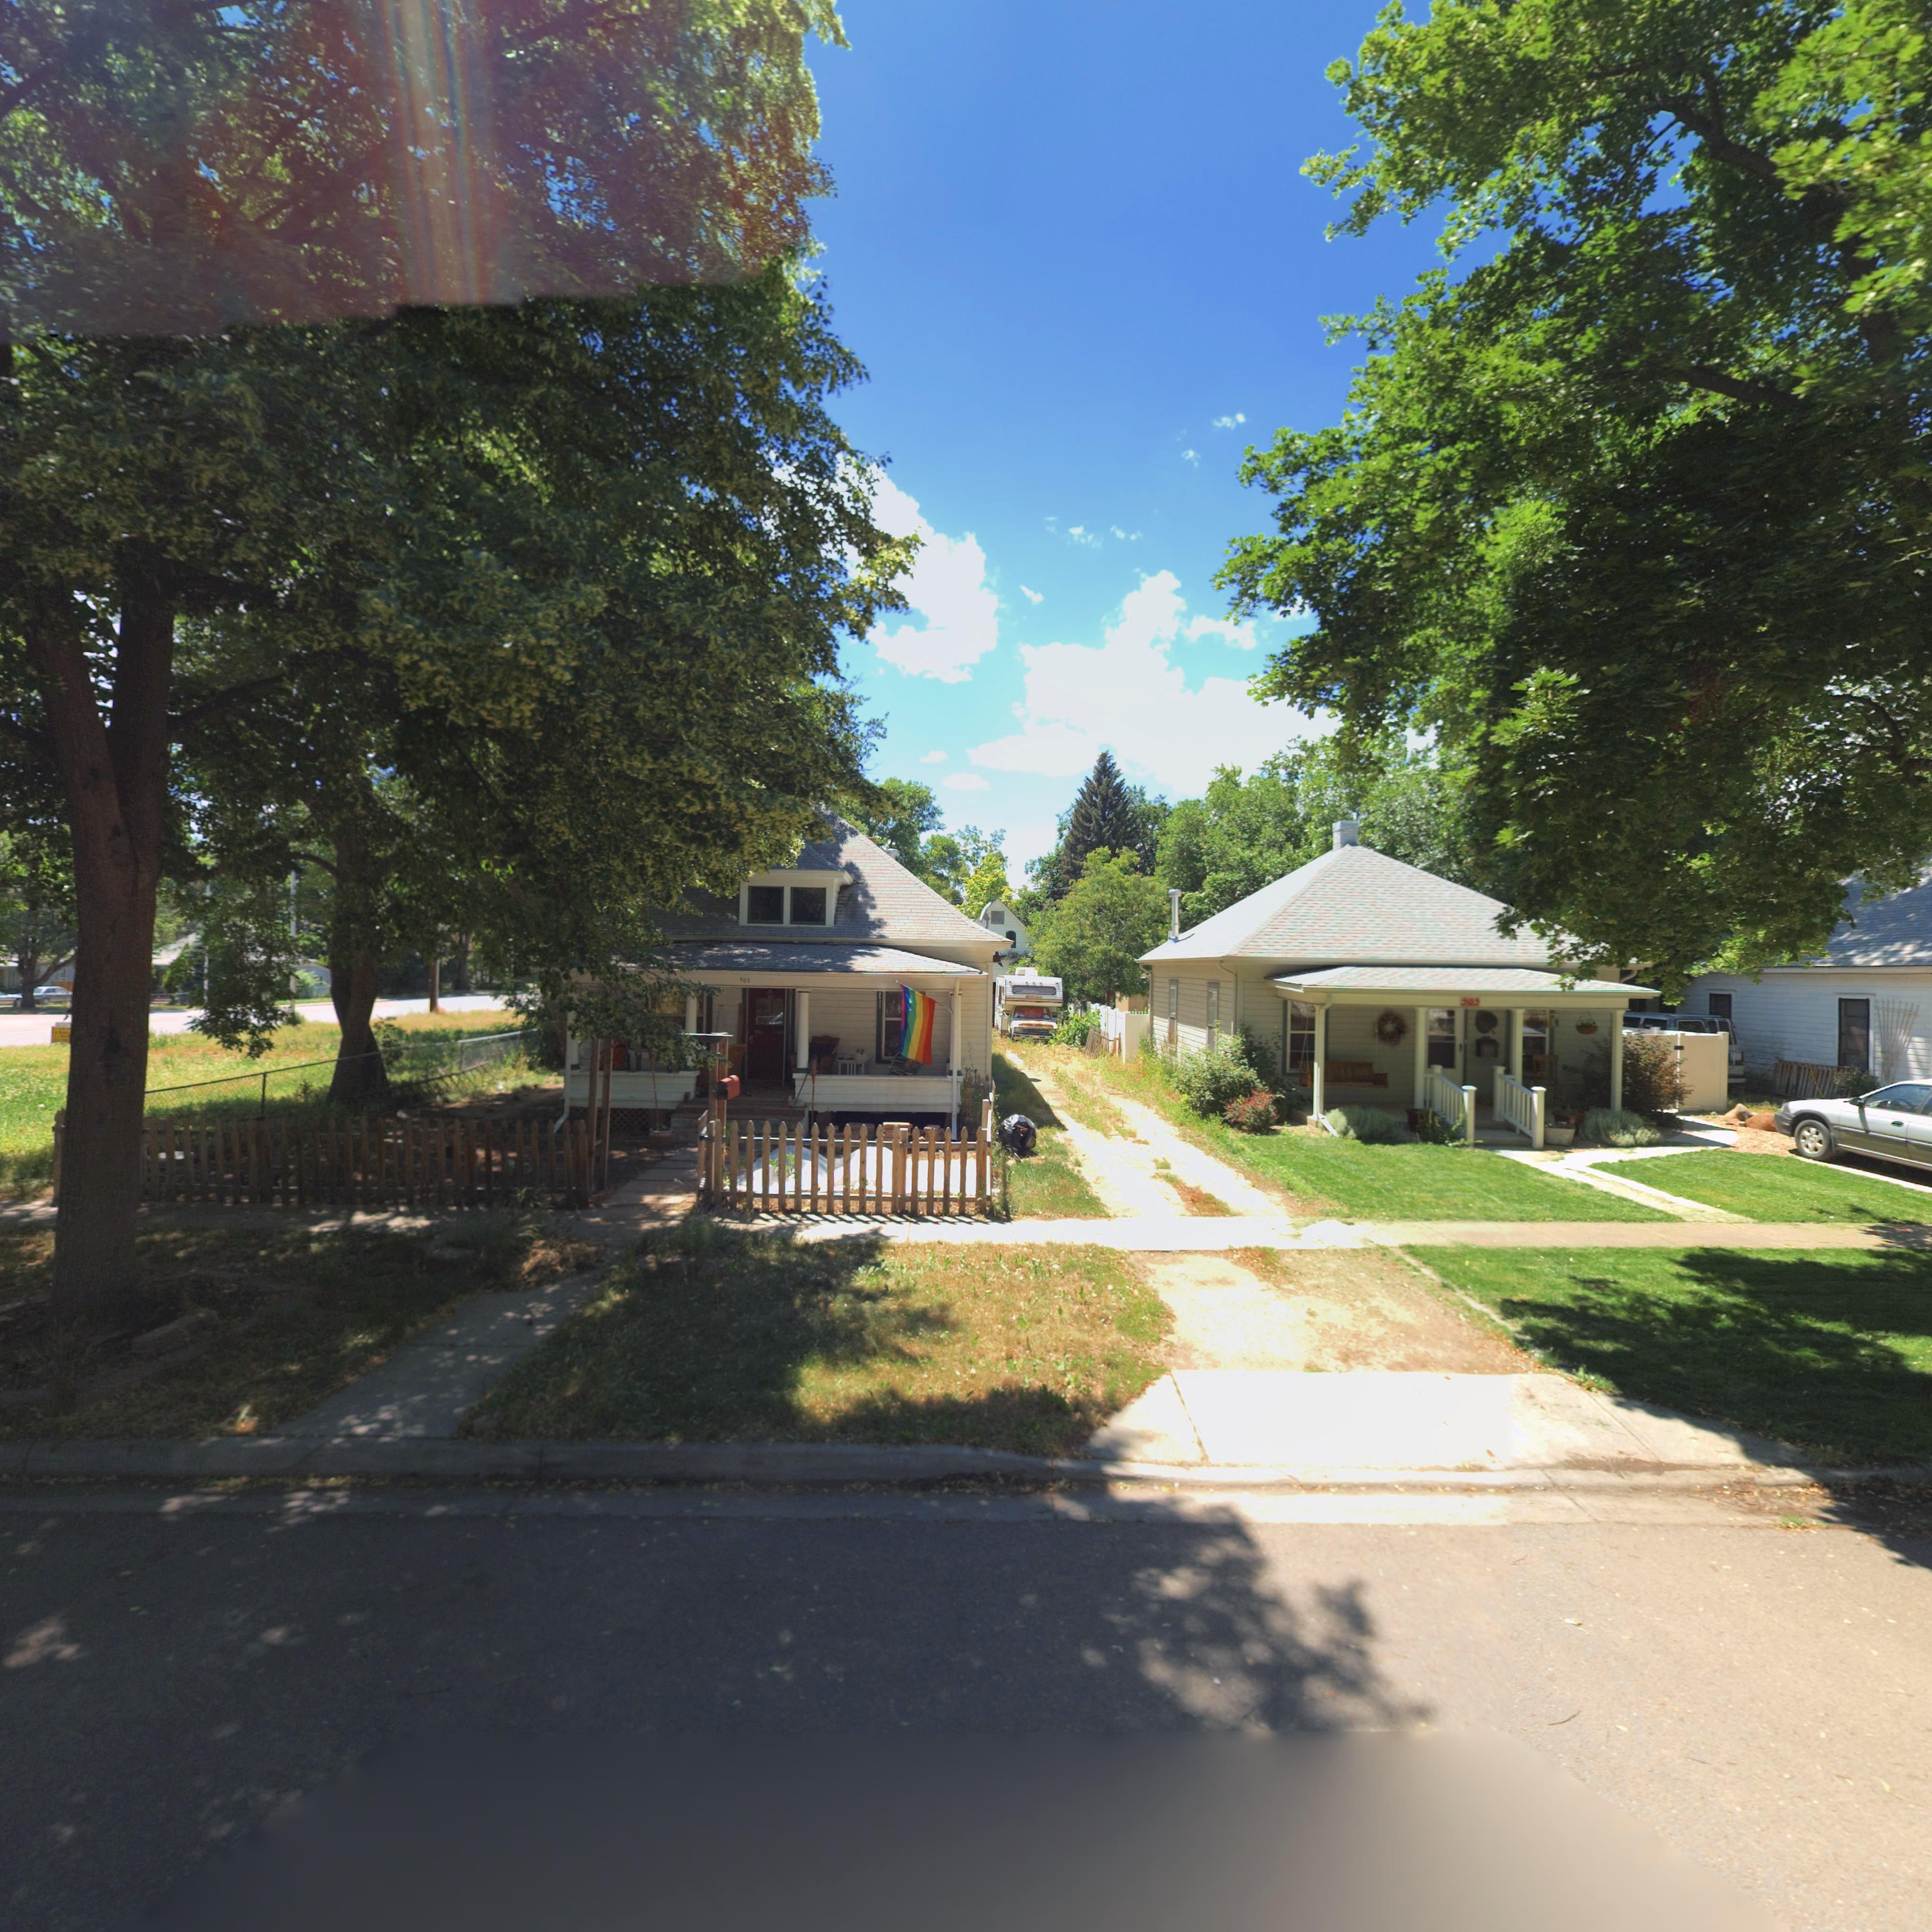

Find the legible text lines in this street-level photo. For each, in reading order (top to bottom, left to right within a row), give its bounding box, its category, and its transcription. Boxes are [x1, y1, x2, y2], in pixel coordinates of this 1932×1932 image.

[739, 977, 750, 983] StreetNumber: 905
[1460, 996, 1479, 1006] StreetNumber: 90*